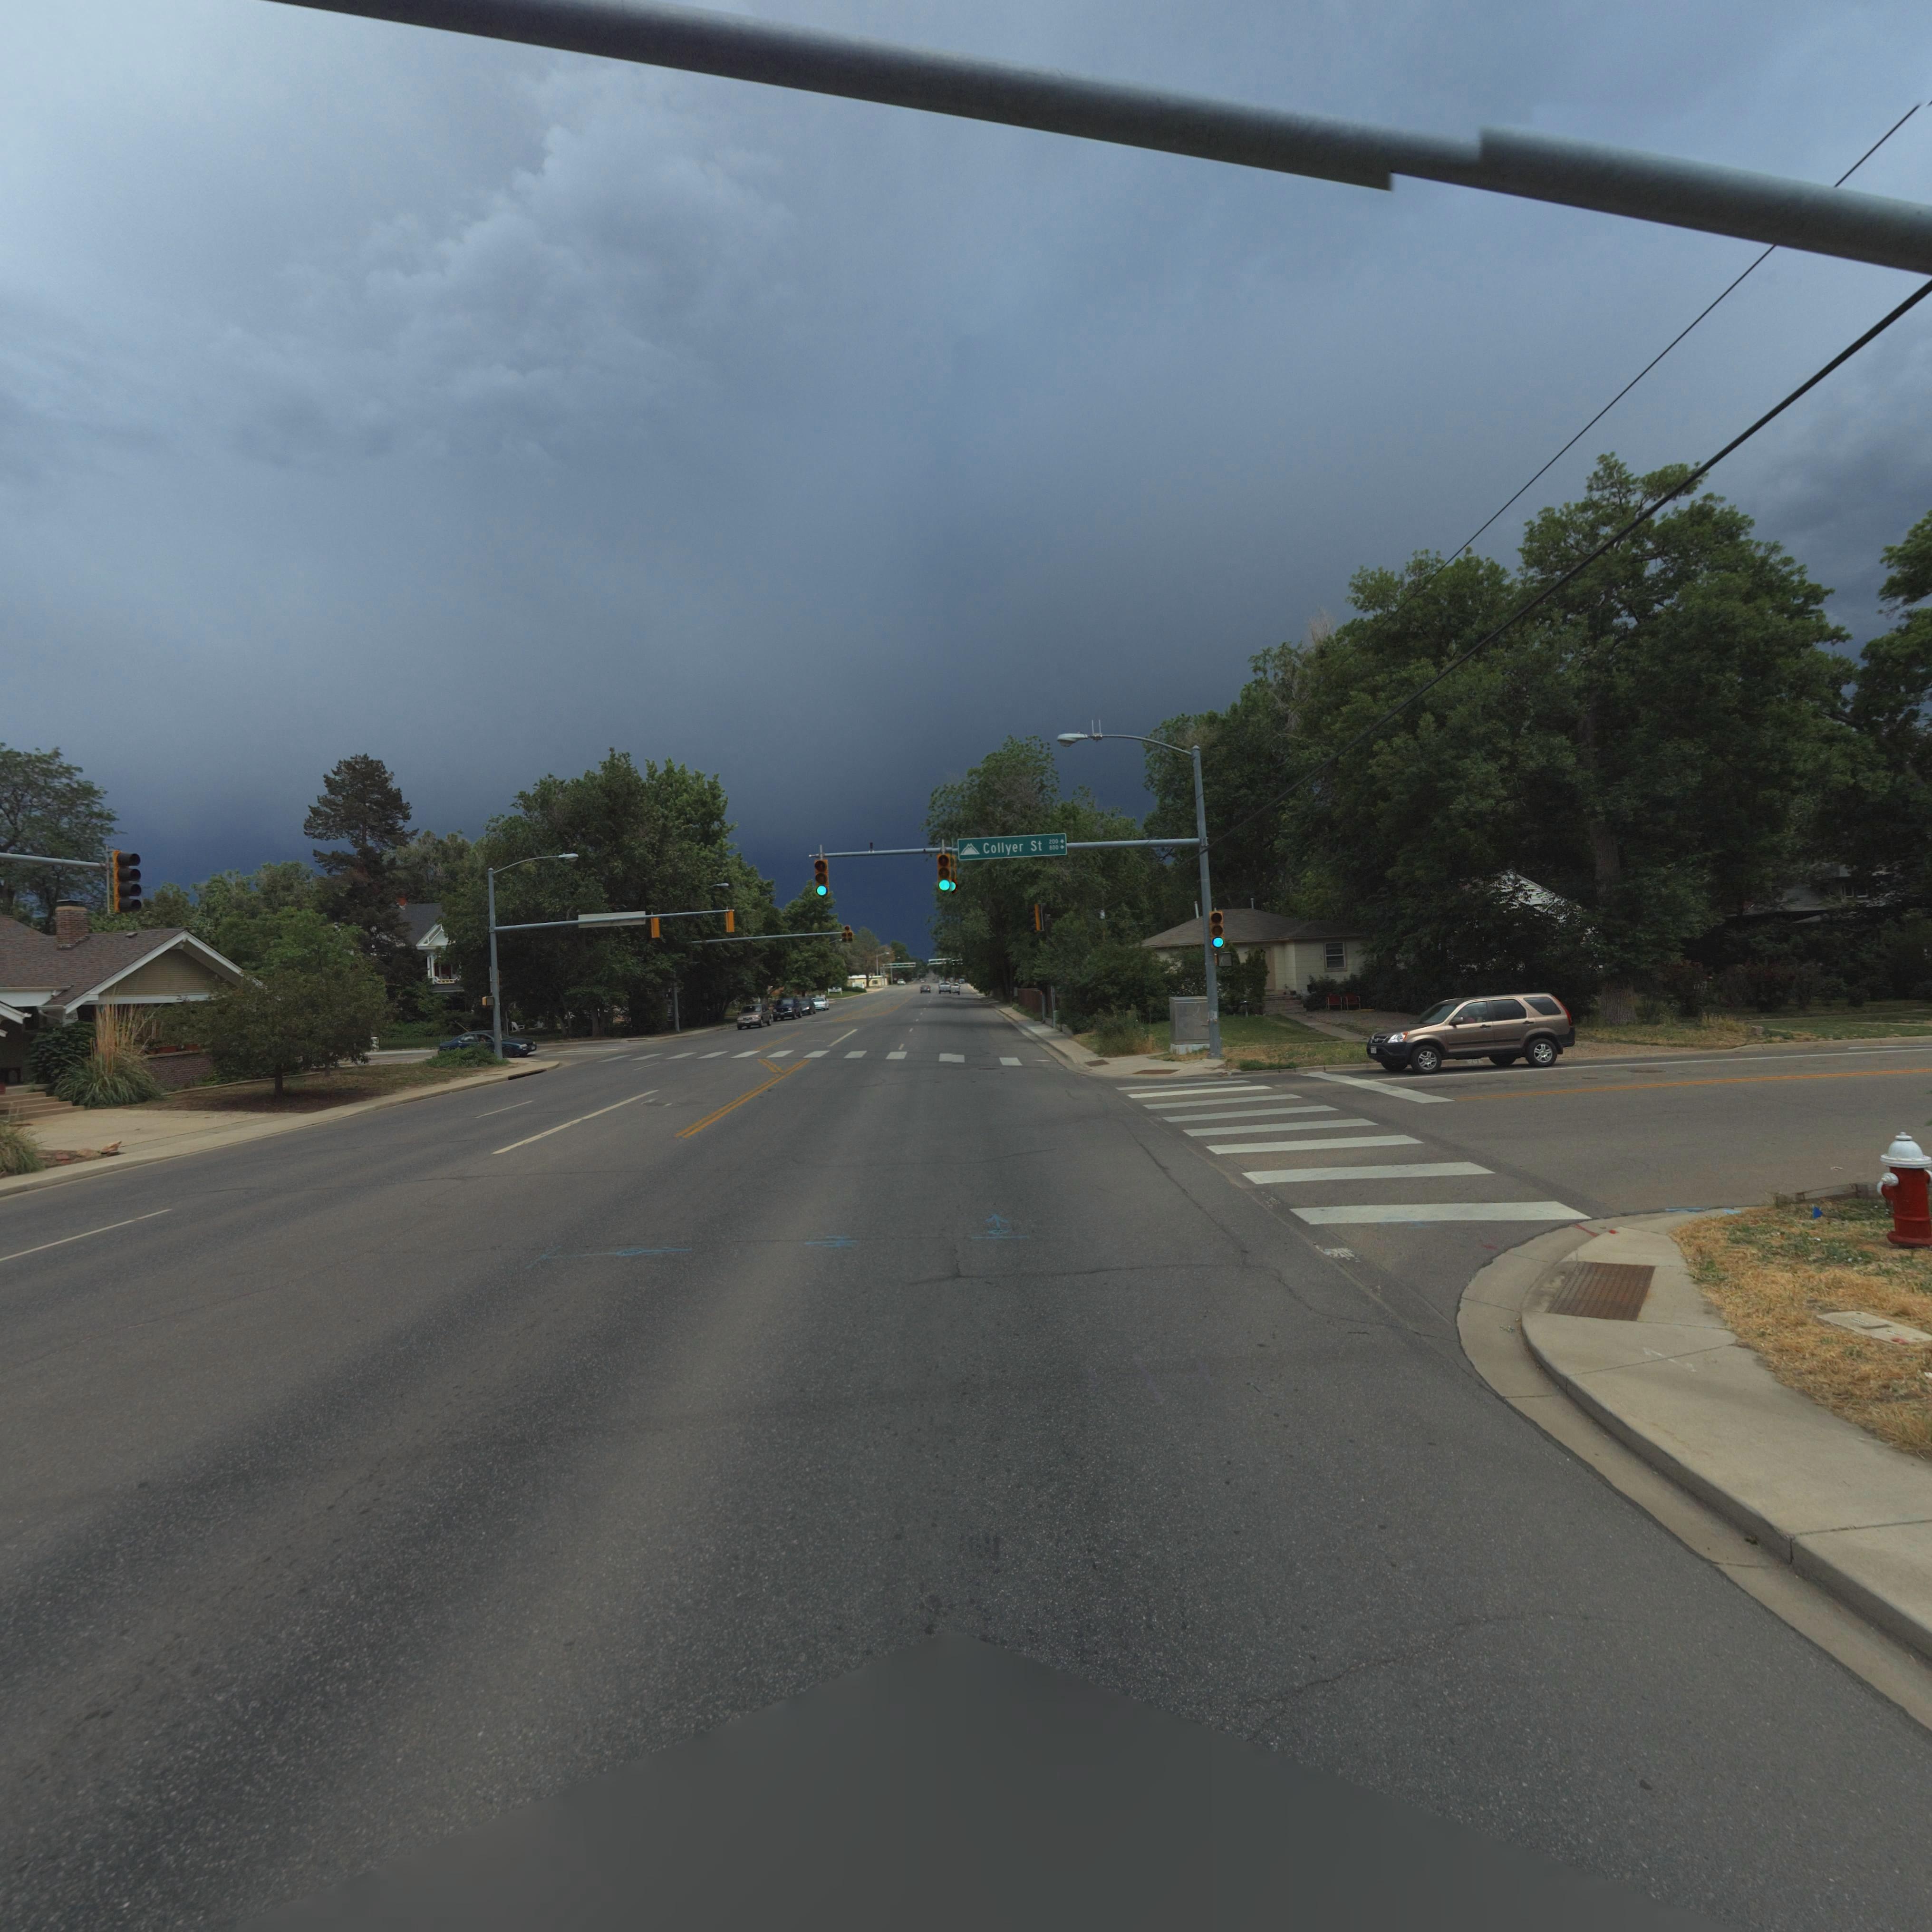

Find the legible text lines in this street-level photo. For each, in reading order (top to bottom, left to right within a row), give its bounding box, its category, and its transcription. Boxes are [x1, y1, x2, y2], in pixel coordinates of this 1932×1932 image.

[1048, 838, 1058, 844] StreetNumberRange: 200
[983, 840, 1042, 856] StreetName: Collyer St
[1048, 844, 1065, 850] StreetNumberRange: 800->